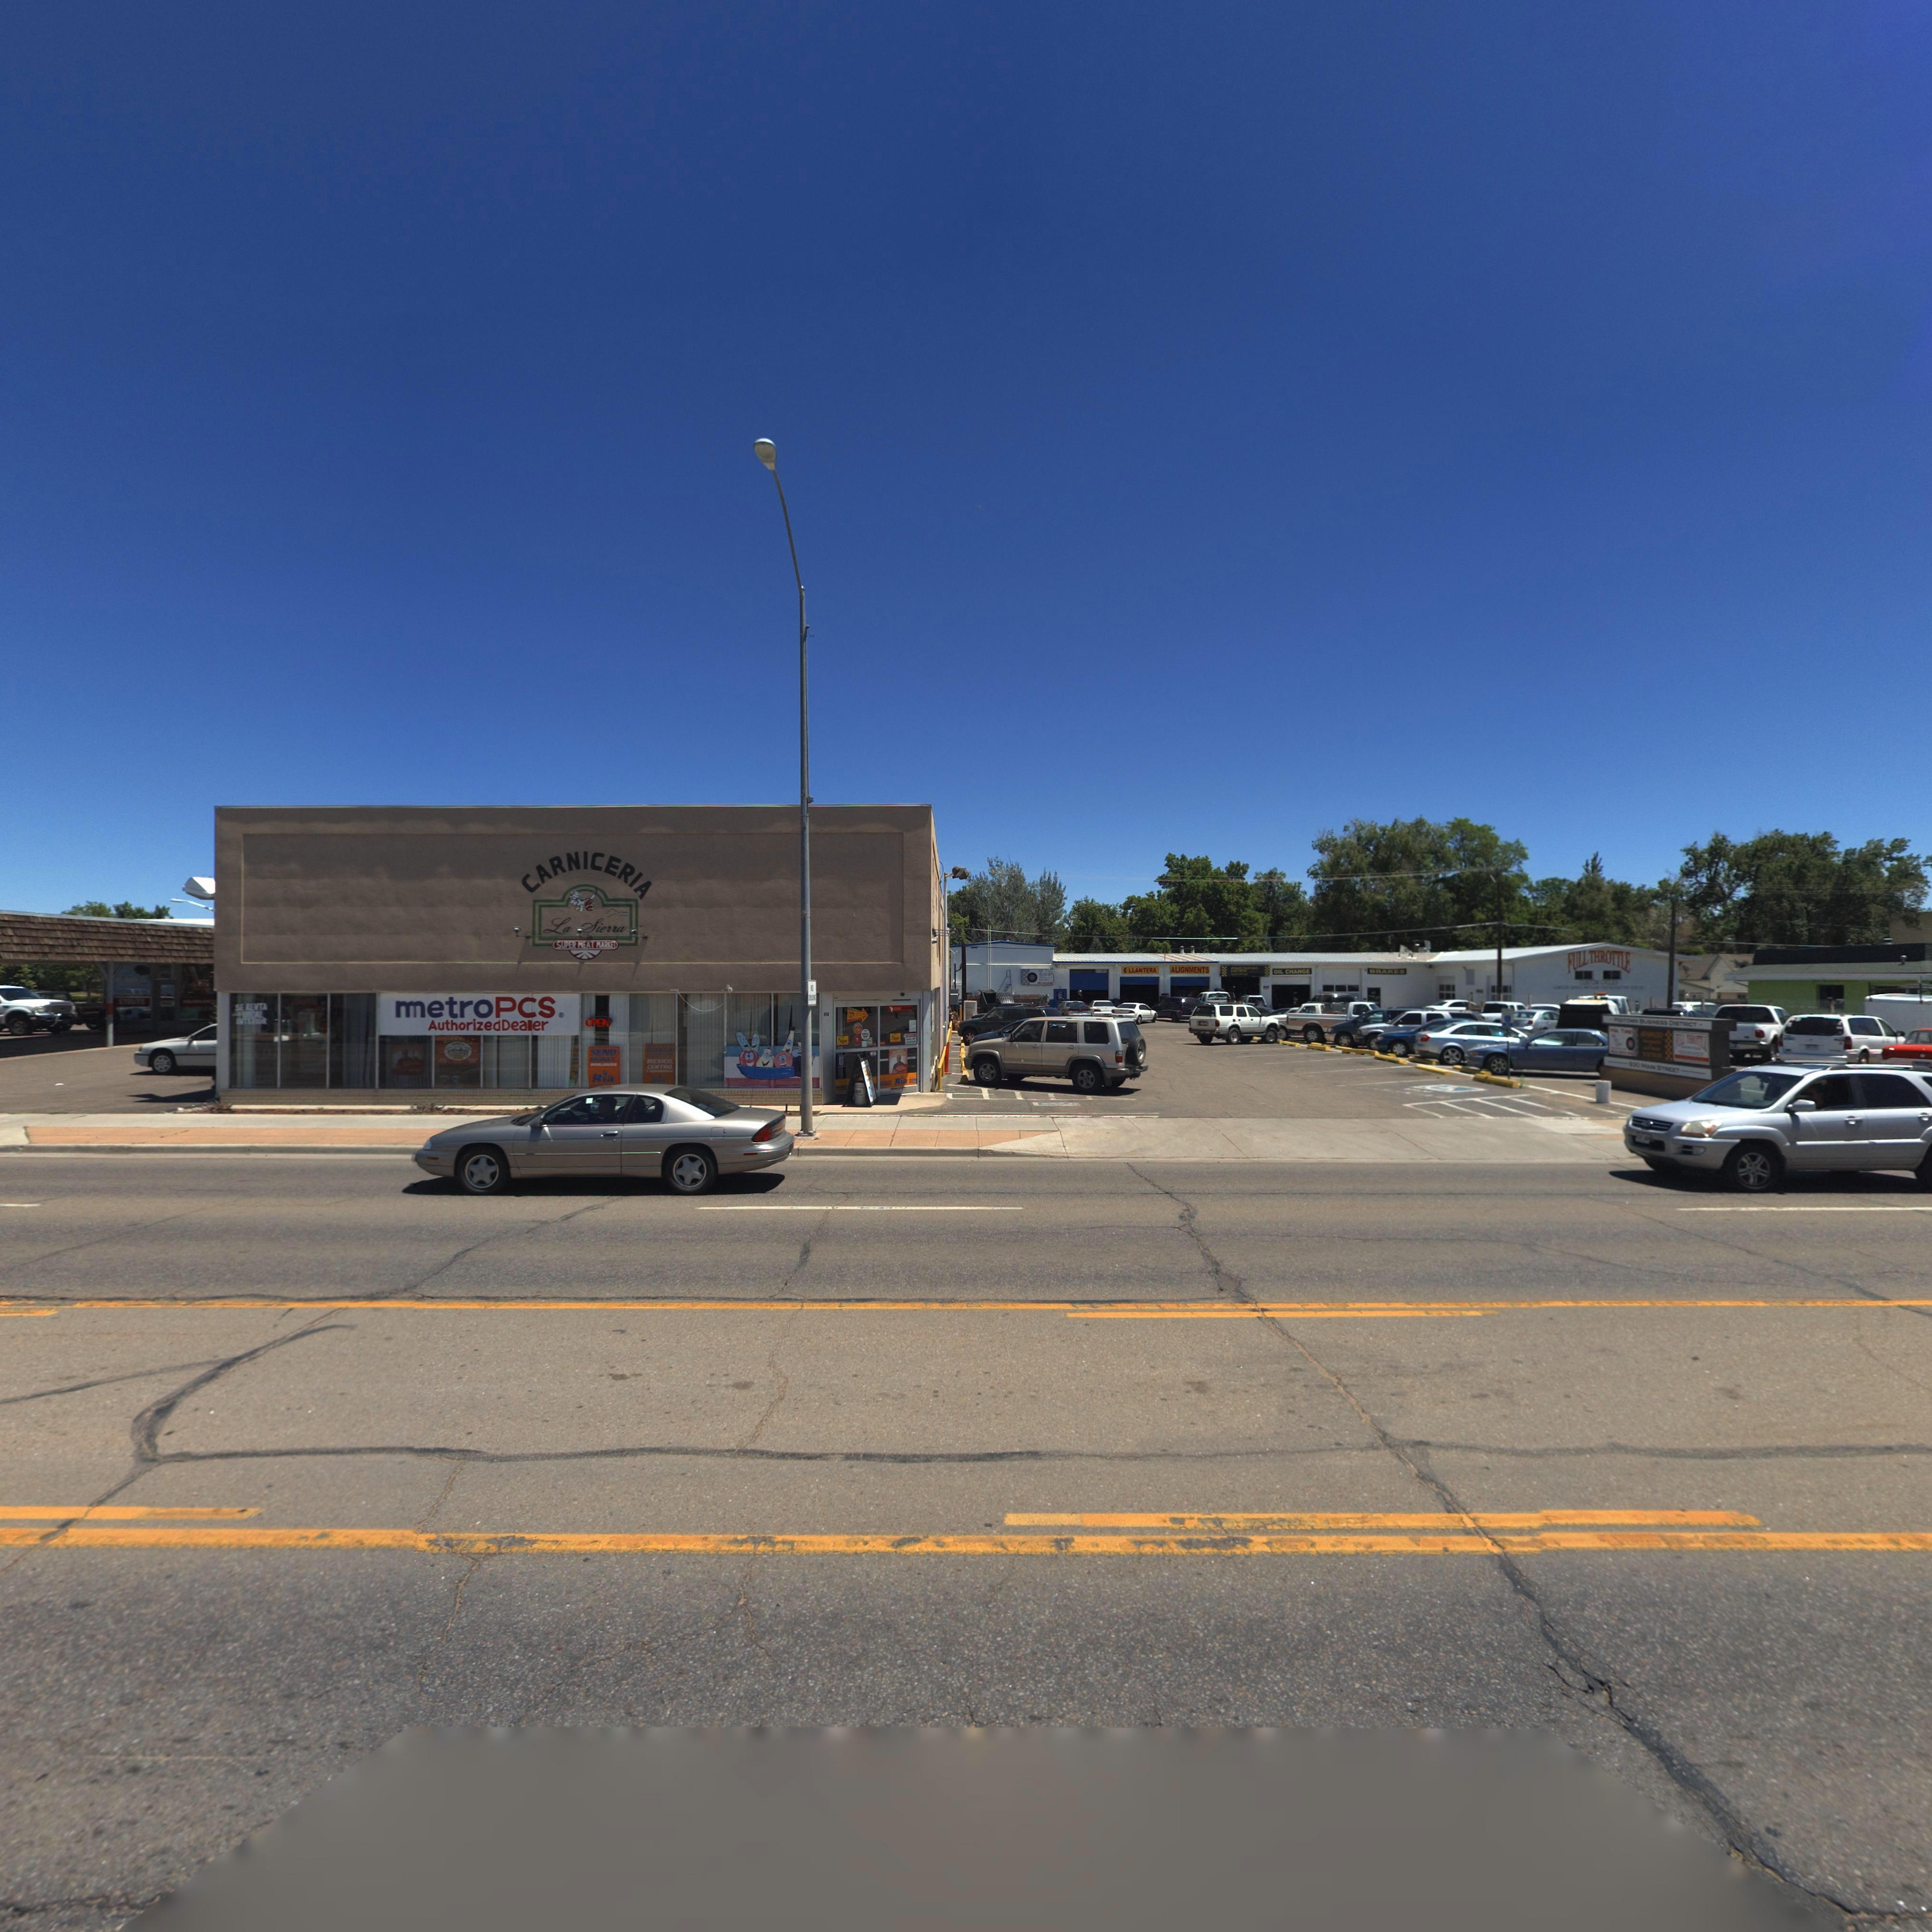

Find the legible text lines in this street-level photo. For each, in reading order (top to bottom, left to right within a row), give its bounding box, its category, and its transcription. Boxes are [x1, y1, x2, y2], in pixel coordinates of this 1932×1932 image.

[542, 917, 629, 934] BusinessName: La Sierra
[1567, 949, 1632, 974] BusinessName: FULL THROTTLE
[1038, 969, 1053, 973] BusinessName: ** T****
[823, 1012, 830, 1016] StreetNumber: *36
[1609, 1028, 1635, 1034] BusinessName: M* T***
[1674, 1033, 1708, 1052] StreetName: F*** T*******
[1628, 1061, 1641, 1068] StreetNumber: 930
[1641, 1063, 1680, 1073] StreetName: MA*N ST*EET